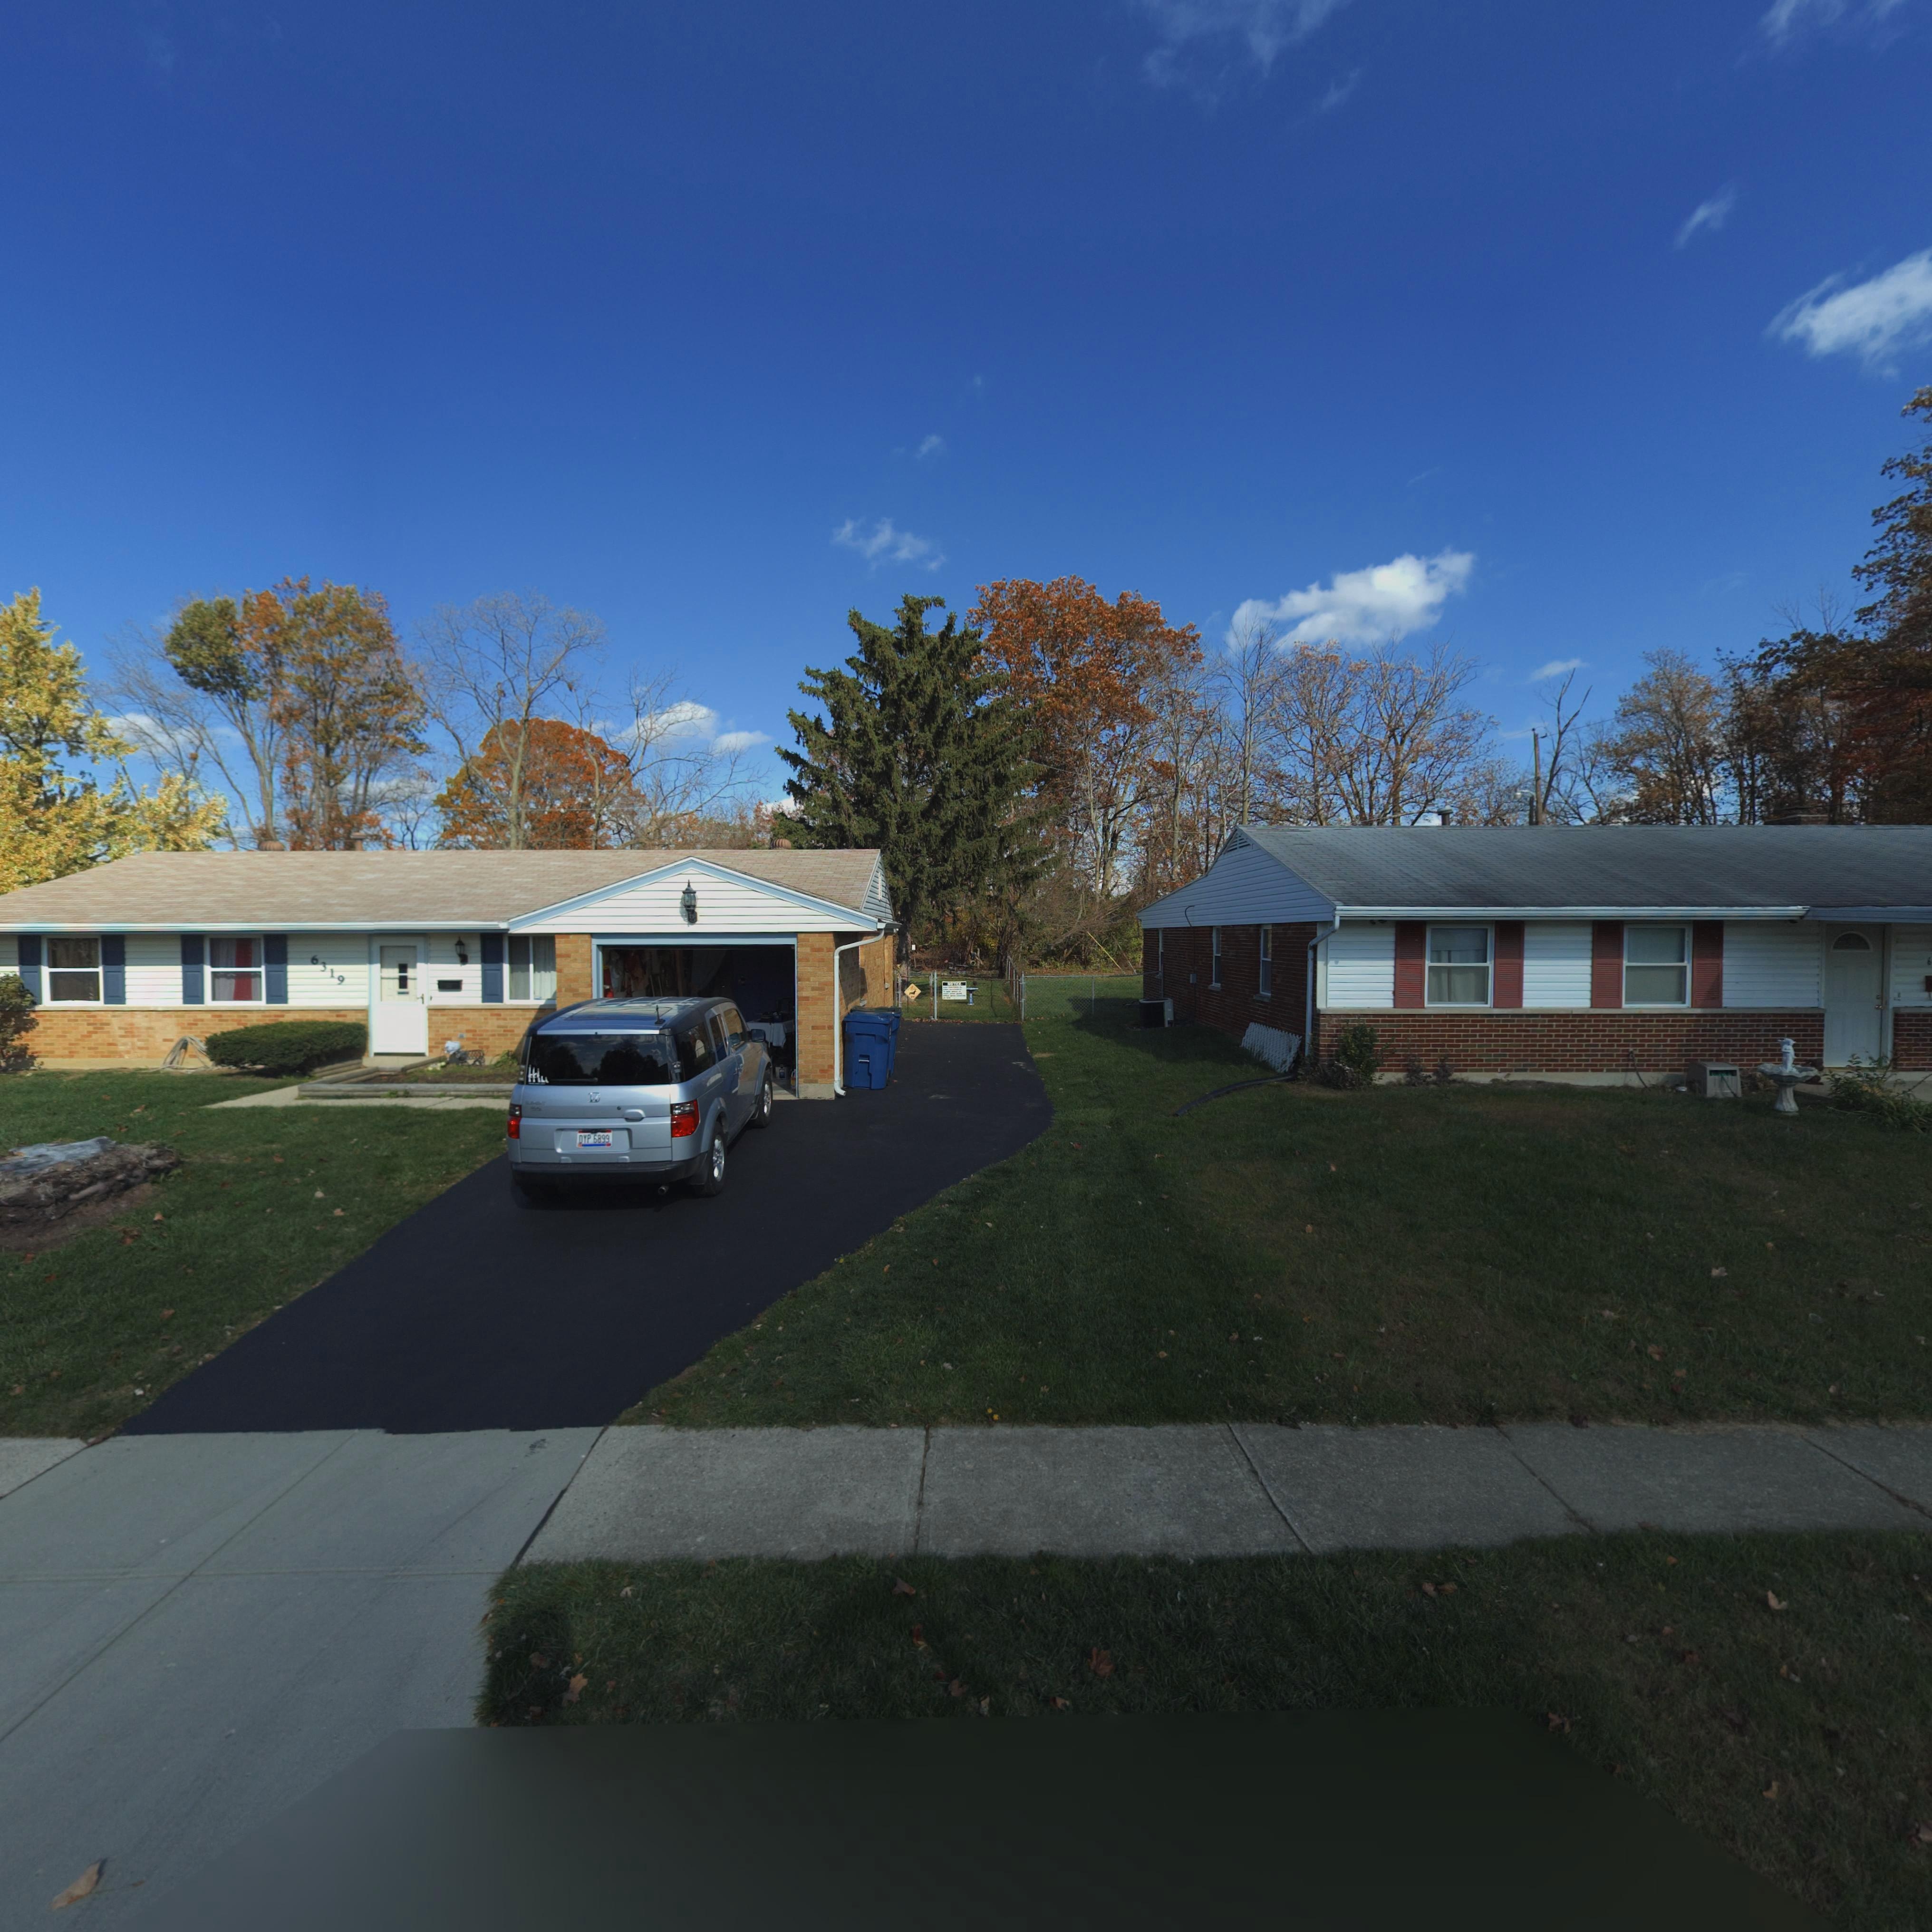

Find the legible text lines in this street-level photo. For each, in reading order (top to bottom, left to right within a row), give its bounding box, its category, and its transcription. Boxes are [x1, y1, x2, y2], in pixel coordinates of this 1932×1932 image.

[309, 954, 345, 987] StreetNumber: 6319
[1927, 956, 1932, 966] StreetNumber: 6